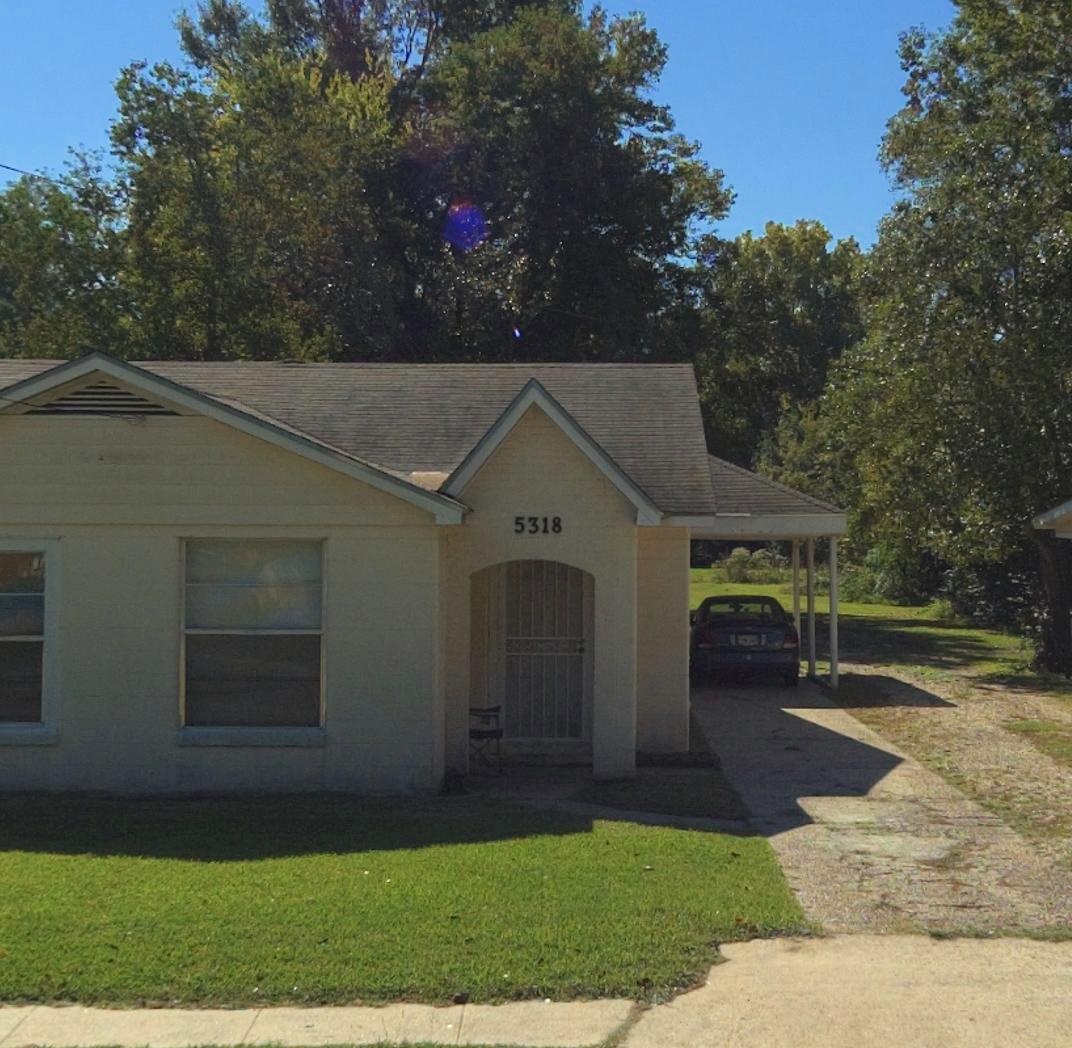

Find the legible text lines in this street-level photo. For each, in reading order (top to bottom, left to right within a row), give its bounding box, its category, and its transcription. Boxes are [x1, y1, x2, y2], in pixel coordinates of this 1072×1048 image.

[514, 516, 563, 534] StreetNumber: 5318